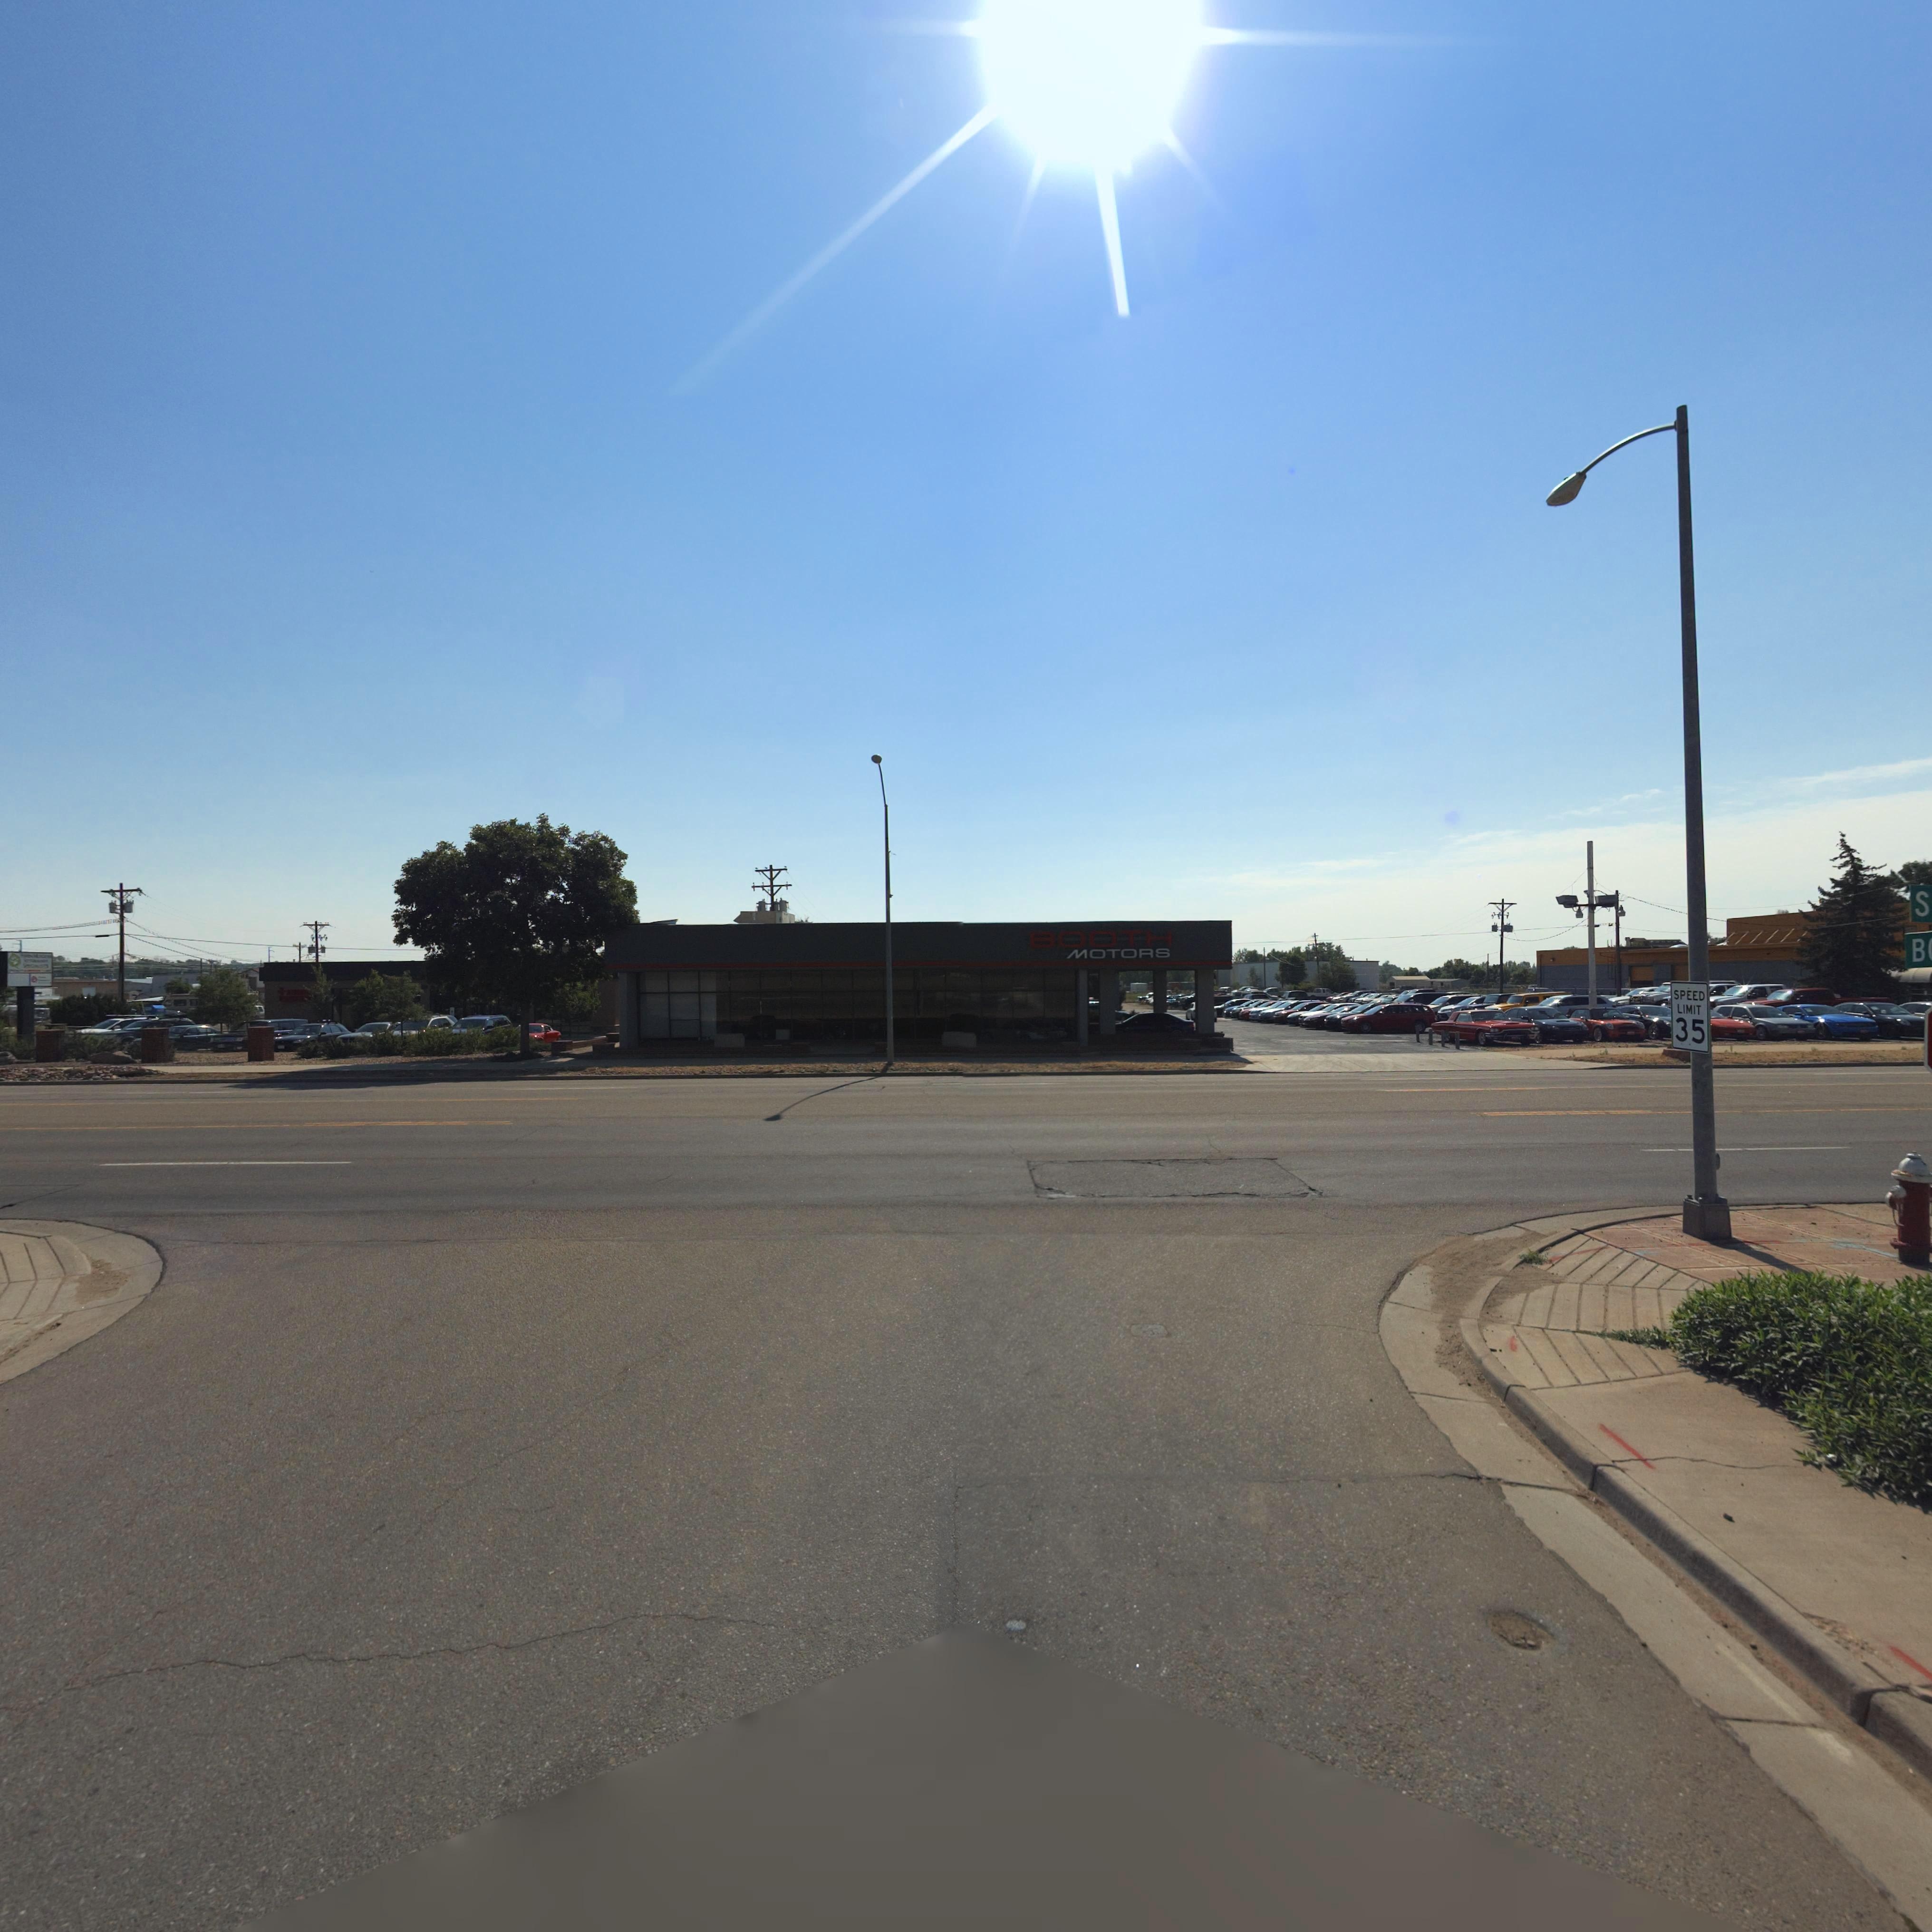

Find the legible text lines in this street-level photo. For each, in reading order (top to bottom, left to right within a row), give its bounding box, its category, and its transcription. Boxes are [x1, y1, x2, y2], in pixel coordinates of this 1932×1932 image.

[1914, 890, 1930, 917] StreetName: S
[1030, 930, 1173, 948] BusinessName: BOOTH
[1066, 948, 1171, 959] BusinessName: MOTORS
[1912, 938, 1926, 962] StreetName: B